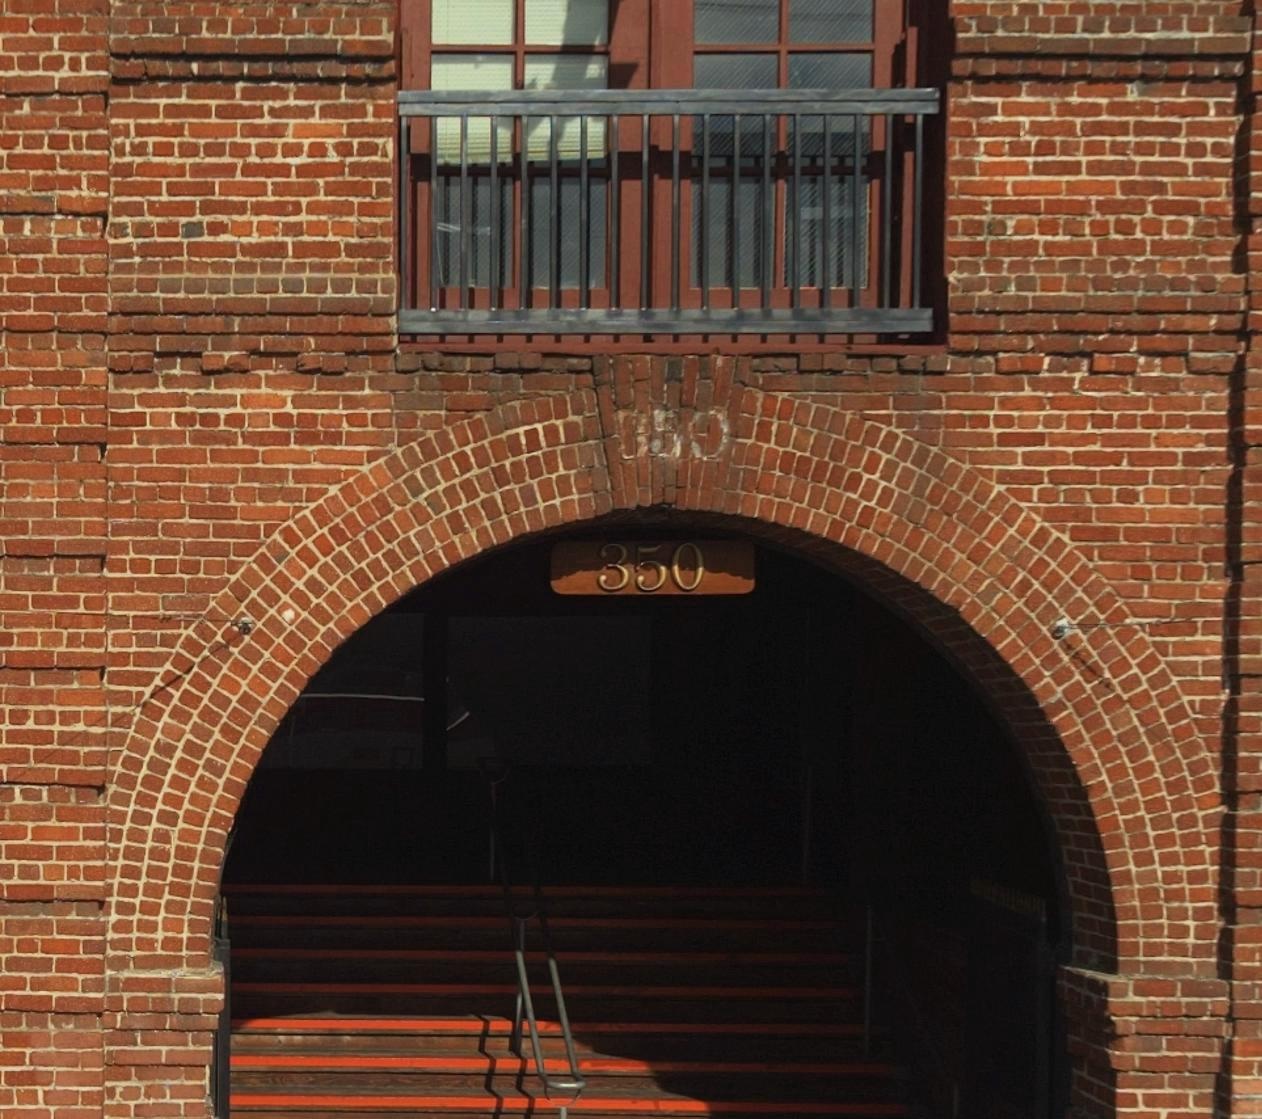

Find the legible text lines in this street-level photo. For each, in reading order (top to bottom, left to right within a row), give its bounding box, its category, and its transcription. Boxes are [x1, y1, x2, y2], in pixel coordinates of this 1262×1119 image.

[595, 537, 708, 595] StreetNumber: 350